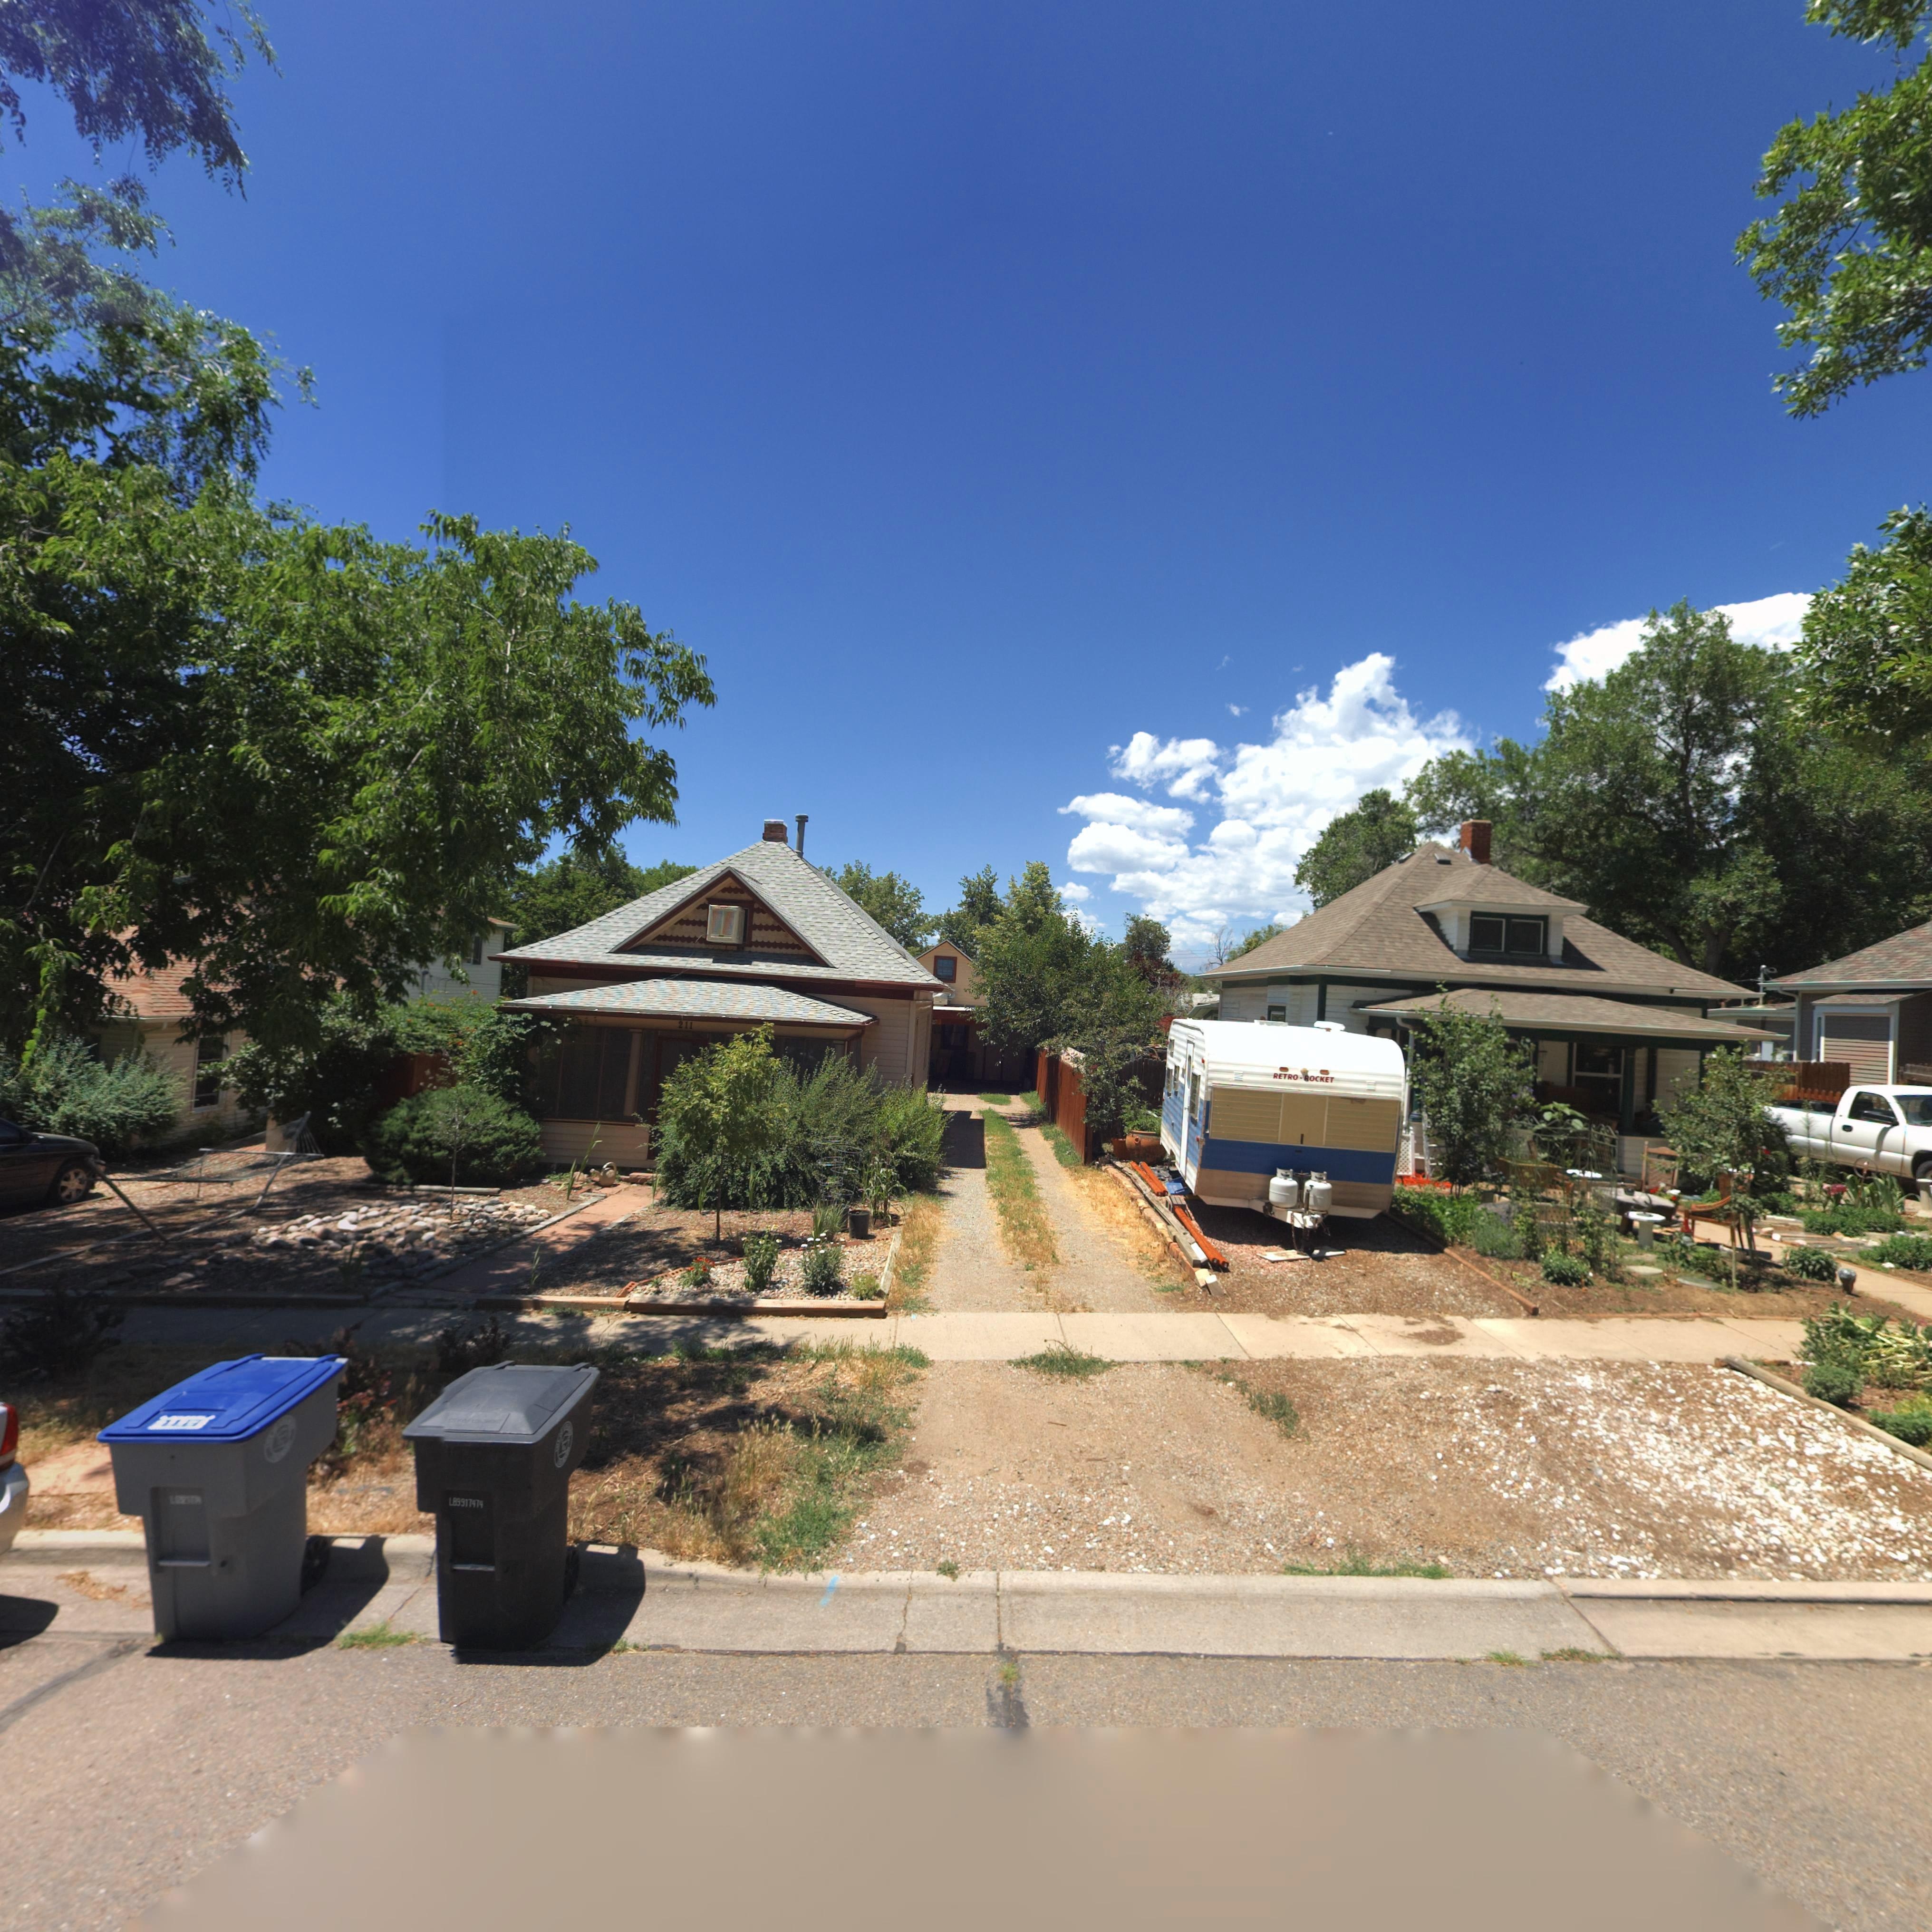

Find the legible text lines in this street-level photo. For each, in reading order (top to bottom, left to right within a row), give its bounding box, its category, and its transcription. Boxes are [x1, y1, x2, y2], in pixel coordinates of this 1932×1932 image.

[677, 1020, 693, 1029] StreetNumber: 211